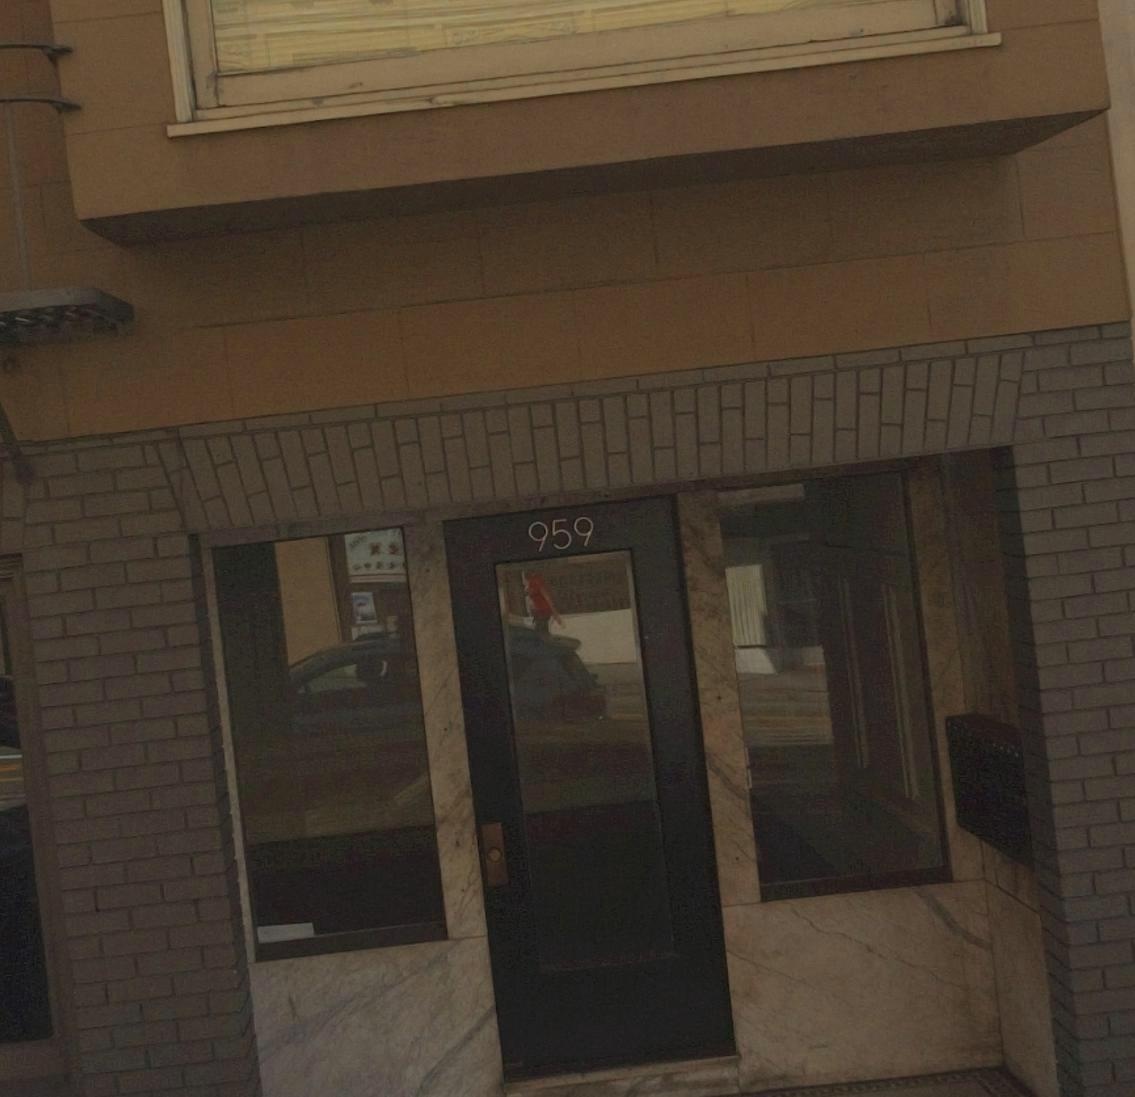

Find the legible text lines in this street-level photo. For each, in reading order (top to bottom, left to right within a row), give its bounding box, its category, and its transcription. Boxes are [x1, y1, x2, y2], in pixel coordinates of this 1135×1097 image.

[526, 514, 595, 554] StreetNumber: 959